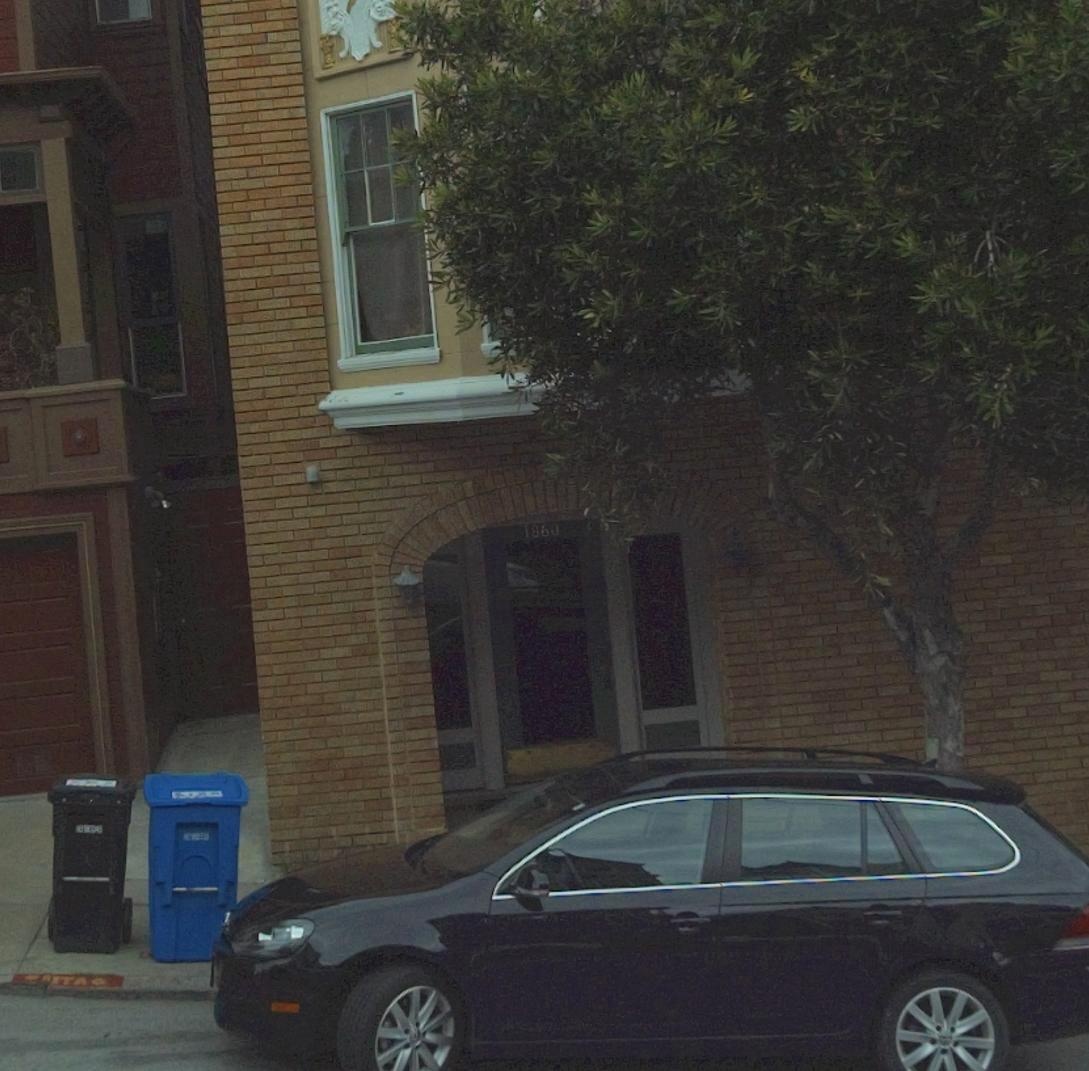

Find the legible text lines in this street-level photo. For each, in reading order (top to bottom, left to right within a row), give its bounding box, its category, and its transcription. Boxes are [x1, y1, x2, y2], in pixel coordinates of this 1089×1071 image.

[524, 522, 561, 539] StreetNumber: 1860